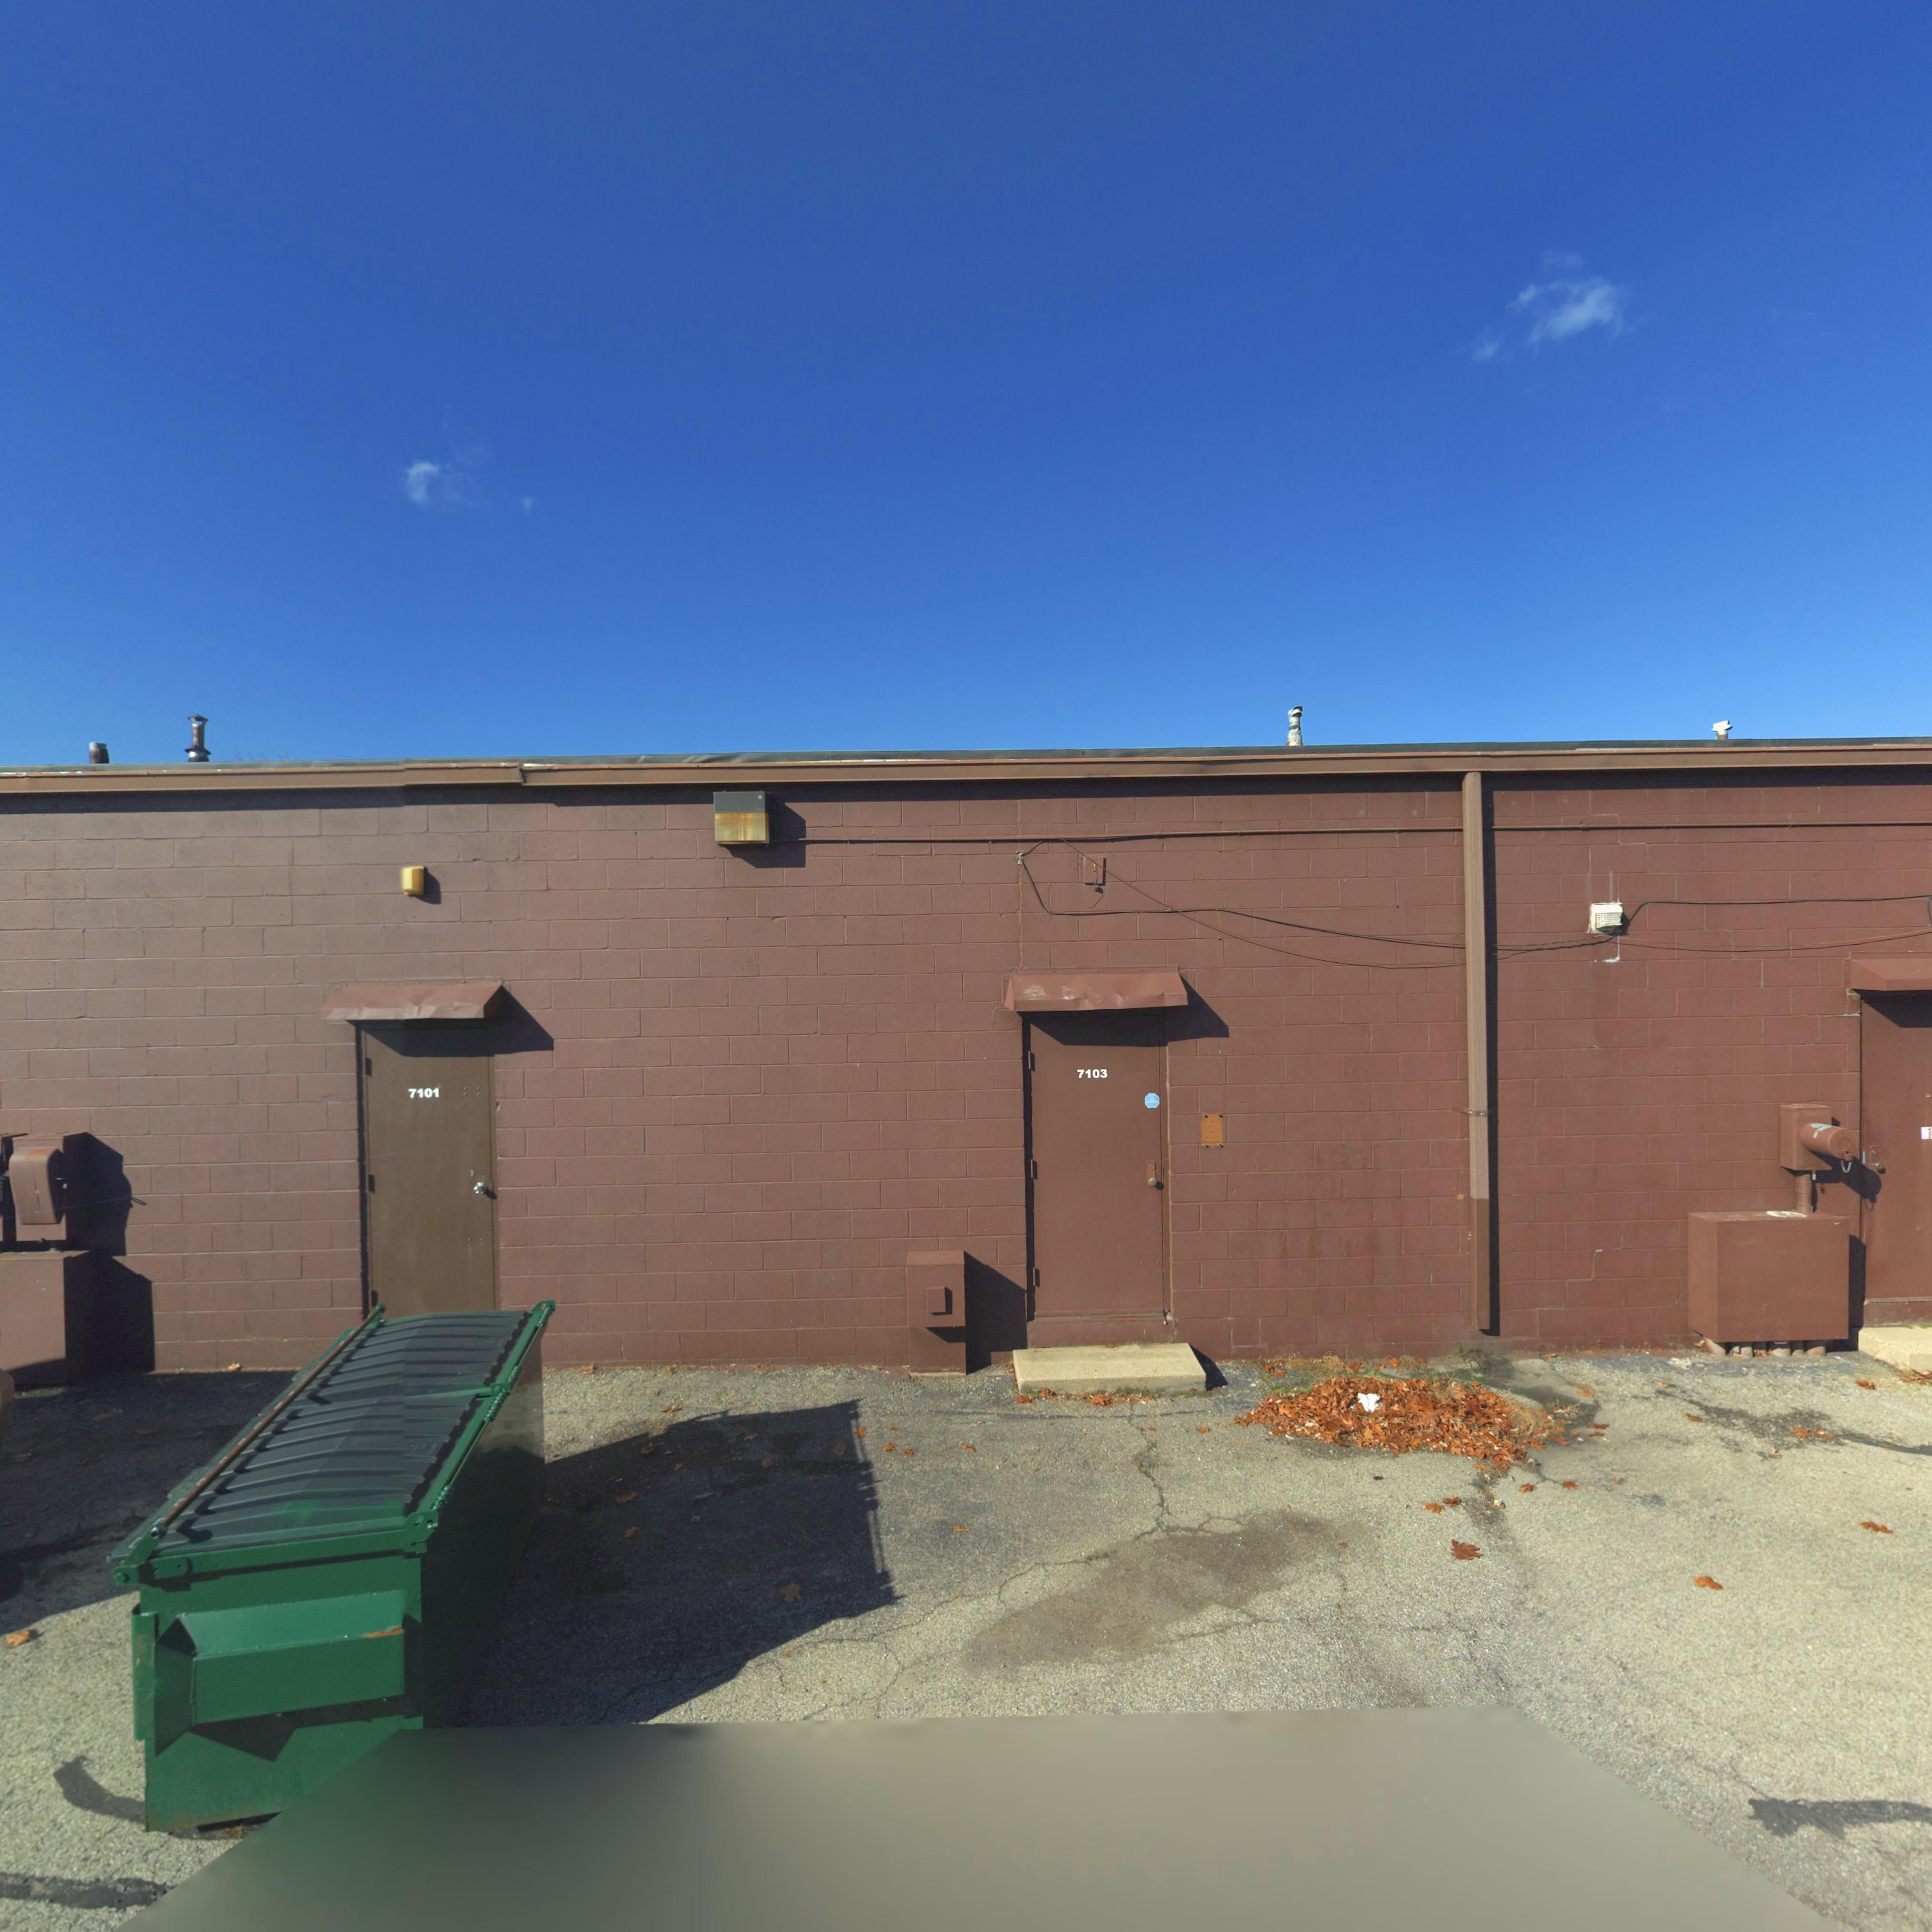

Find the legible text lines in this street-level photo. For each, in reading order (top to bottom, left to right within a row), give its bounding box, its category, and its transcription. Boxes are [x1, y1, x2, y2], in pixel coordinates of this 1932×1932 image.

[1076, 1068, 1108, 1079] StreetNumber: 7103
[407, 1087, 440, 1099] StreetNumber: 7101